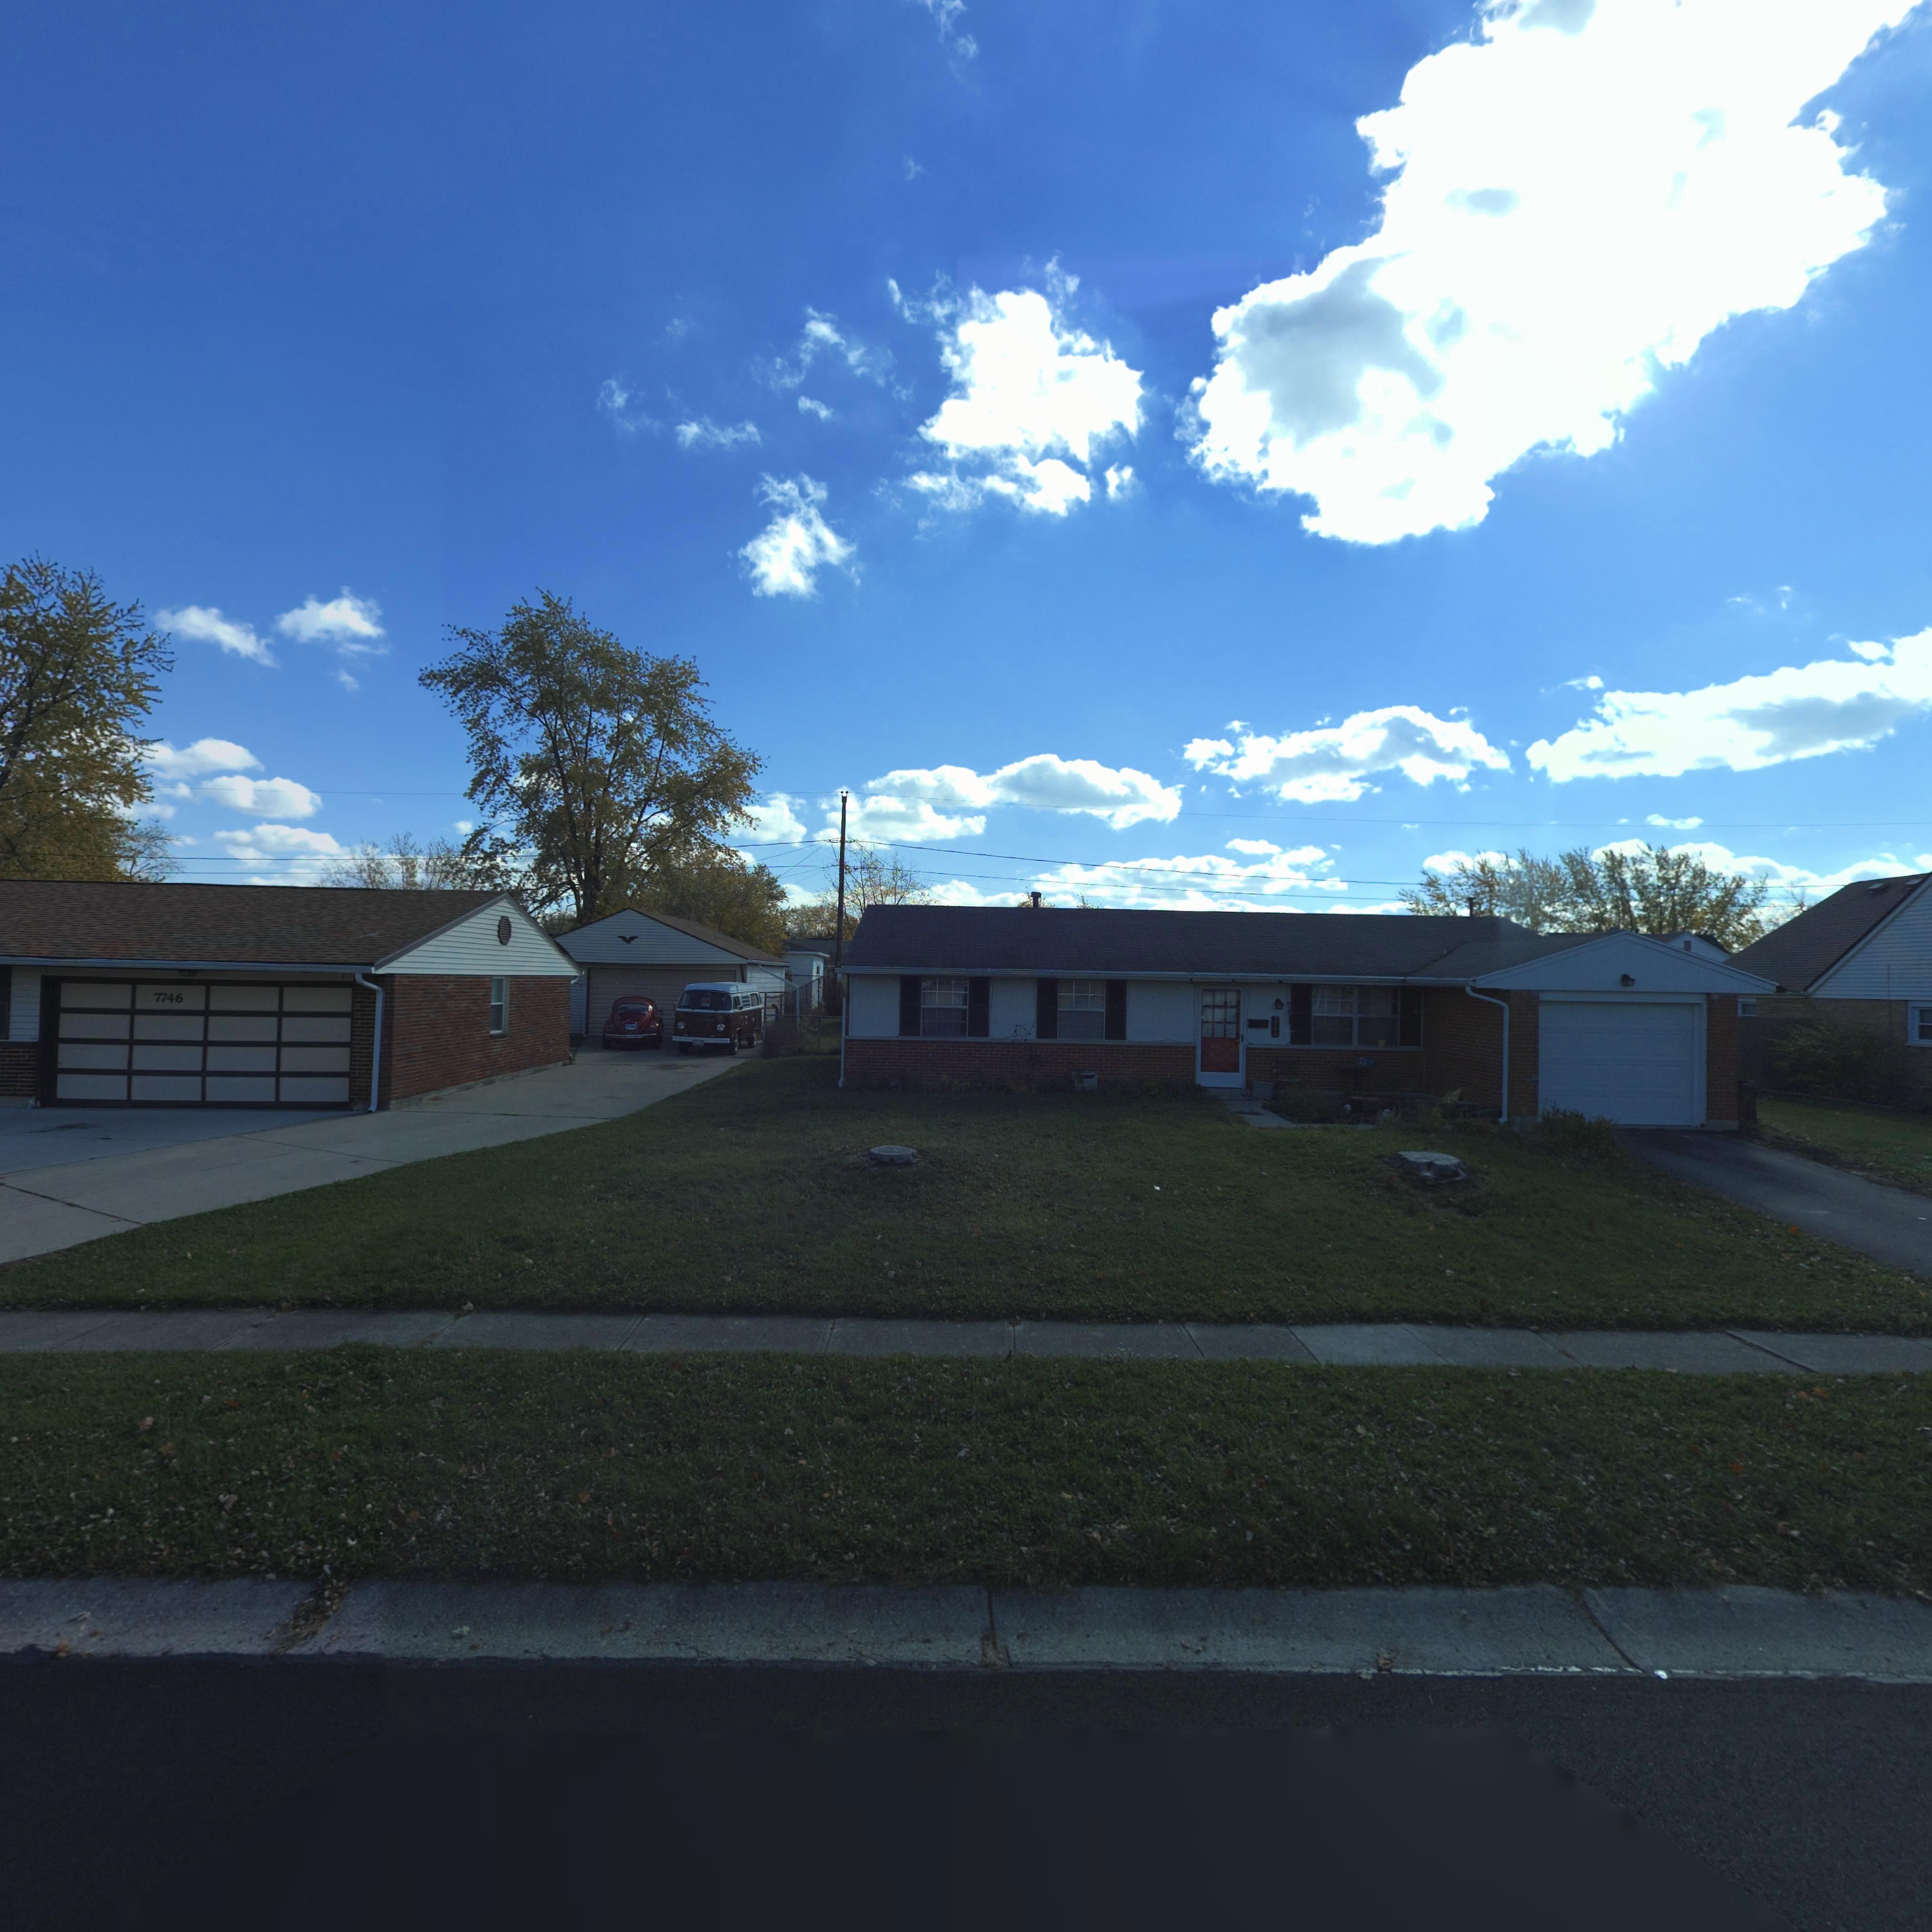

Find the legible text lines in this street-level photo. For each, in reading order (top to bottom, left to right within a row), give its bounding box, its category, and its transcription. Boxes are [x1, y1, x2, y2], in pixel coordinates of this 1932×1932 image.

[154, 992, 183, 1003] StreetNumber: 7746
[1272, 1015, 1278, 1038] StreetNumber: 7740